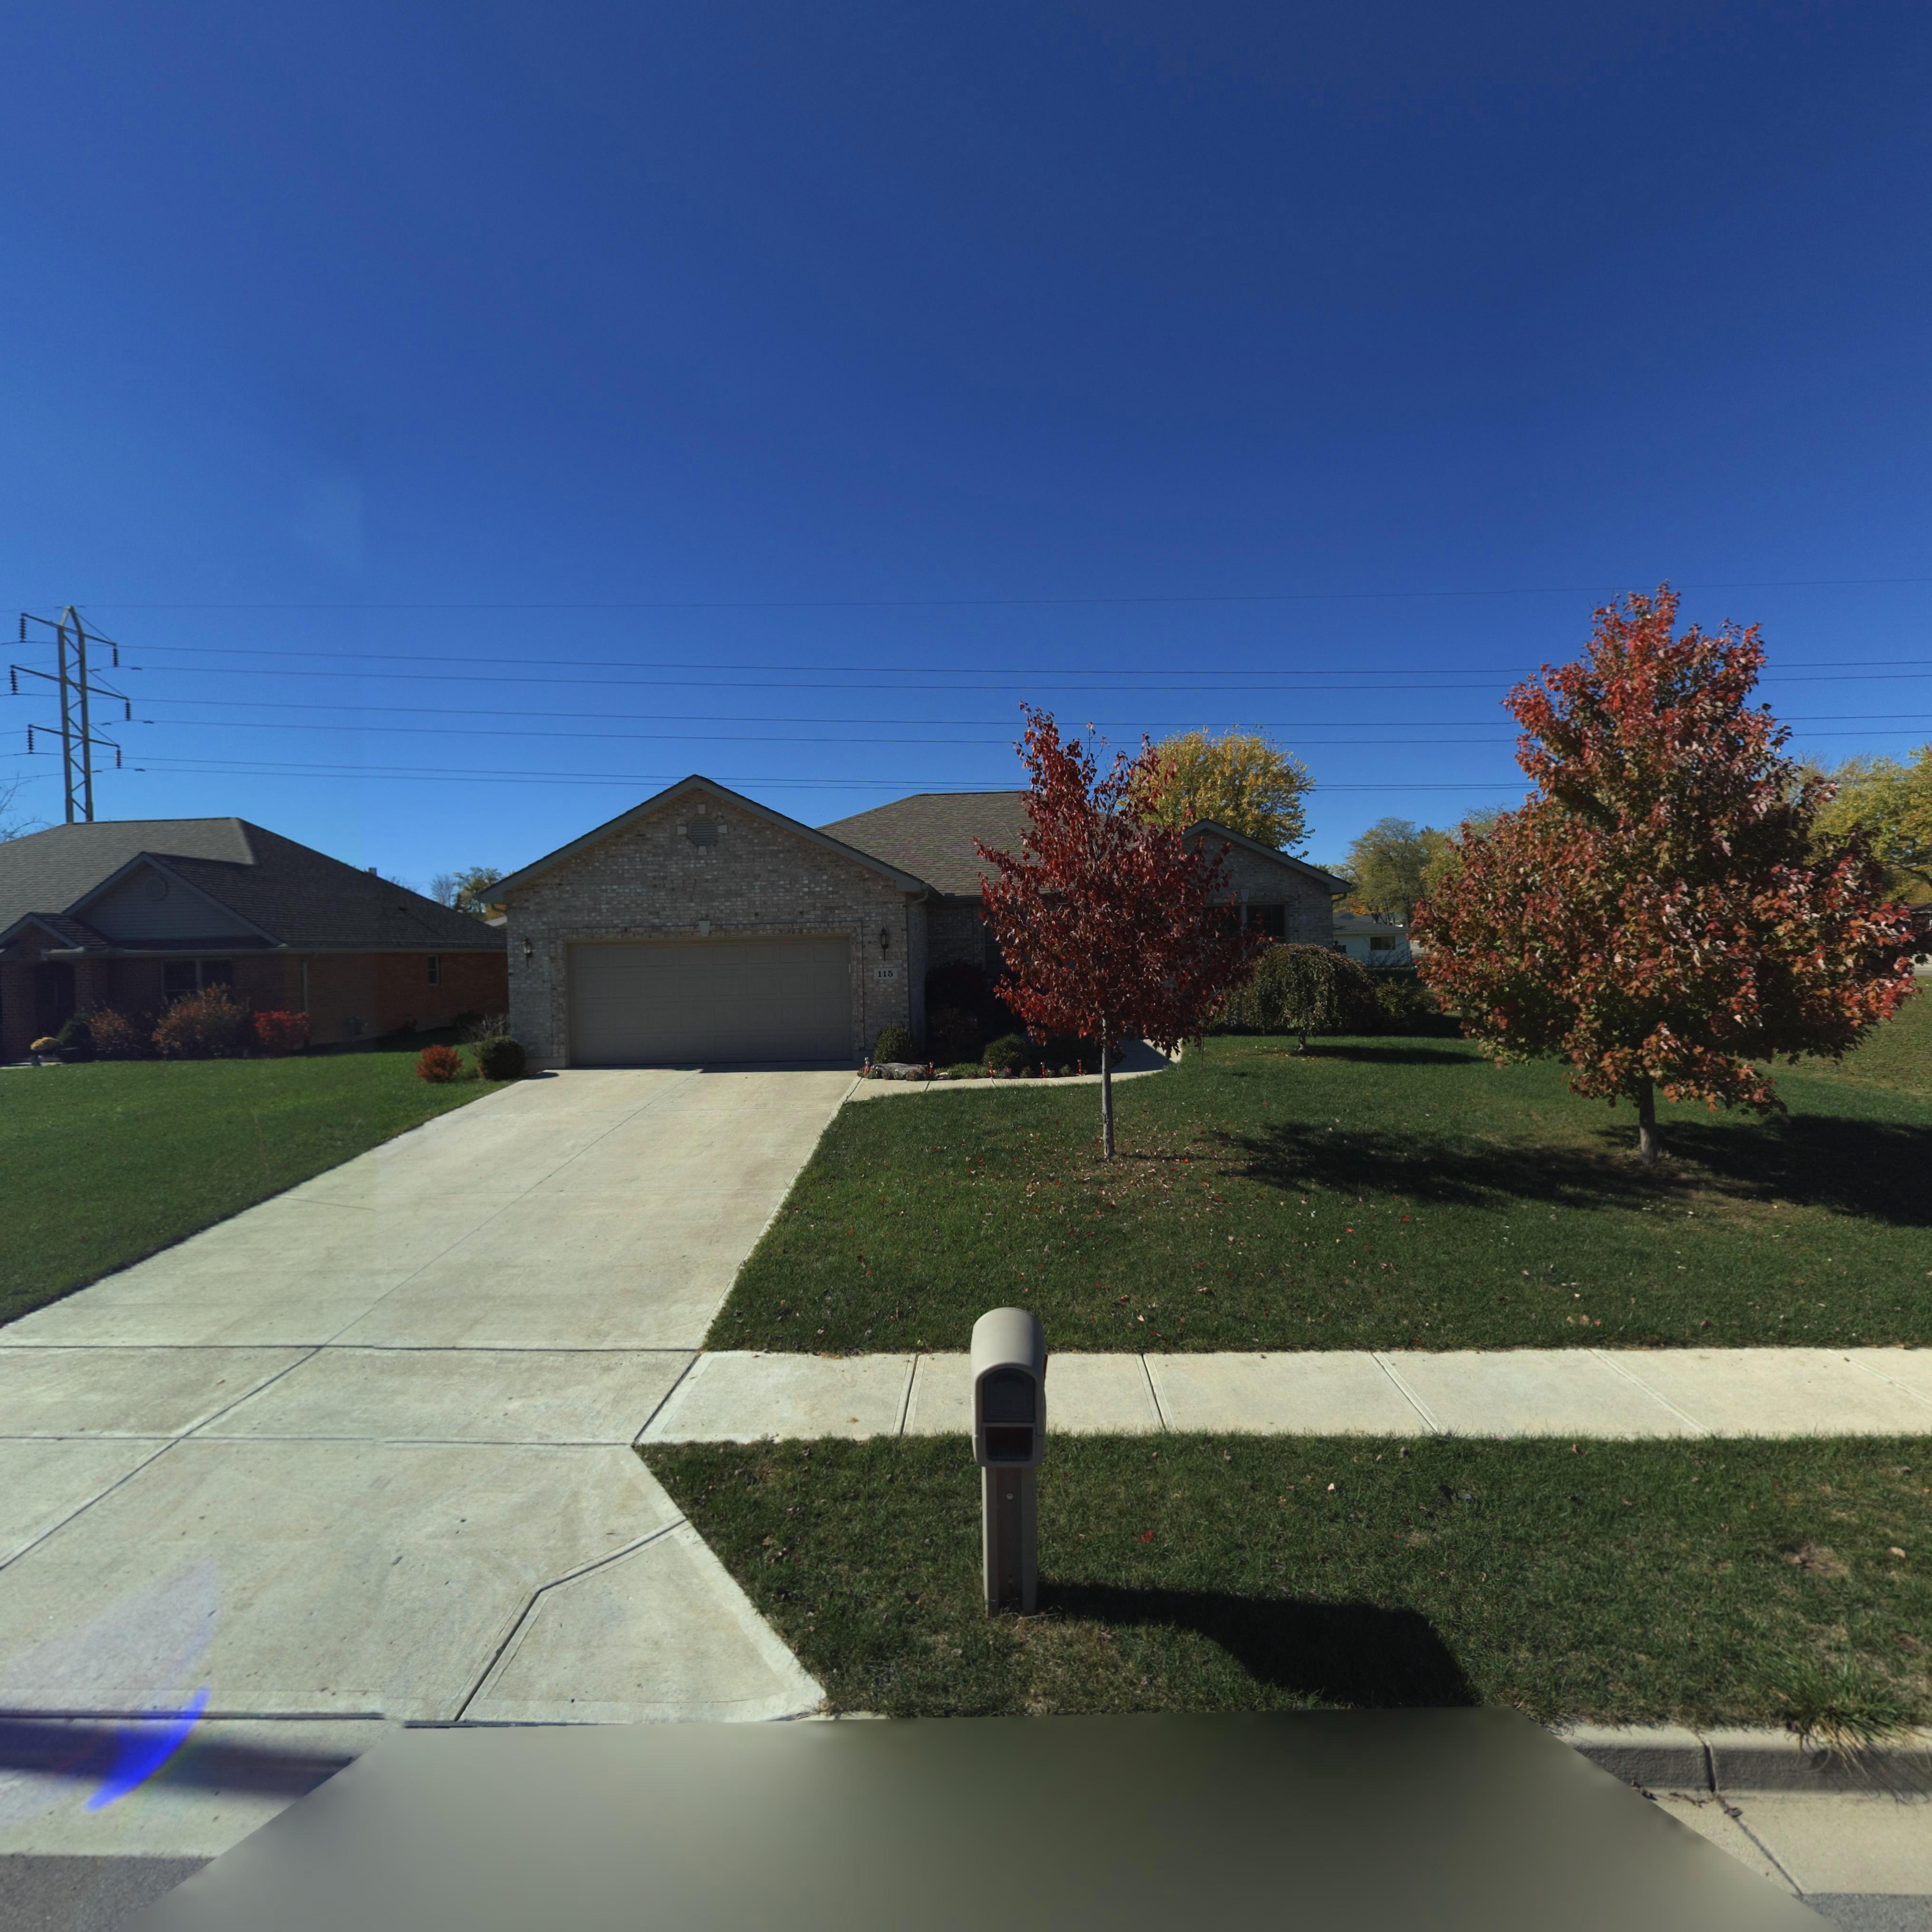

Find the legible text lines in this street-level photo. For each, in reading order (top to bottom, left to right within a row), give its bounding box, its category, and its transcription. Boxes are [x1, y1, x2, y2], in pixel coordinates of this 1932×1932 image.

[877, 969, 894, 978] StreetNumber: 115